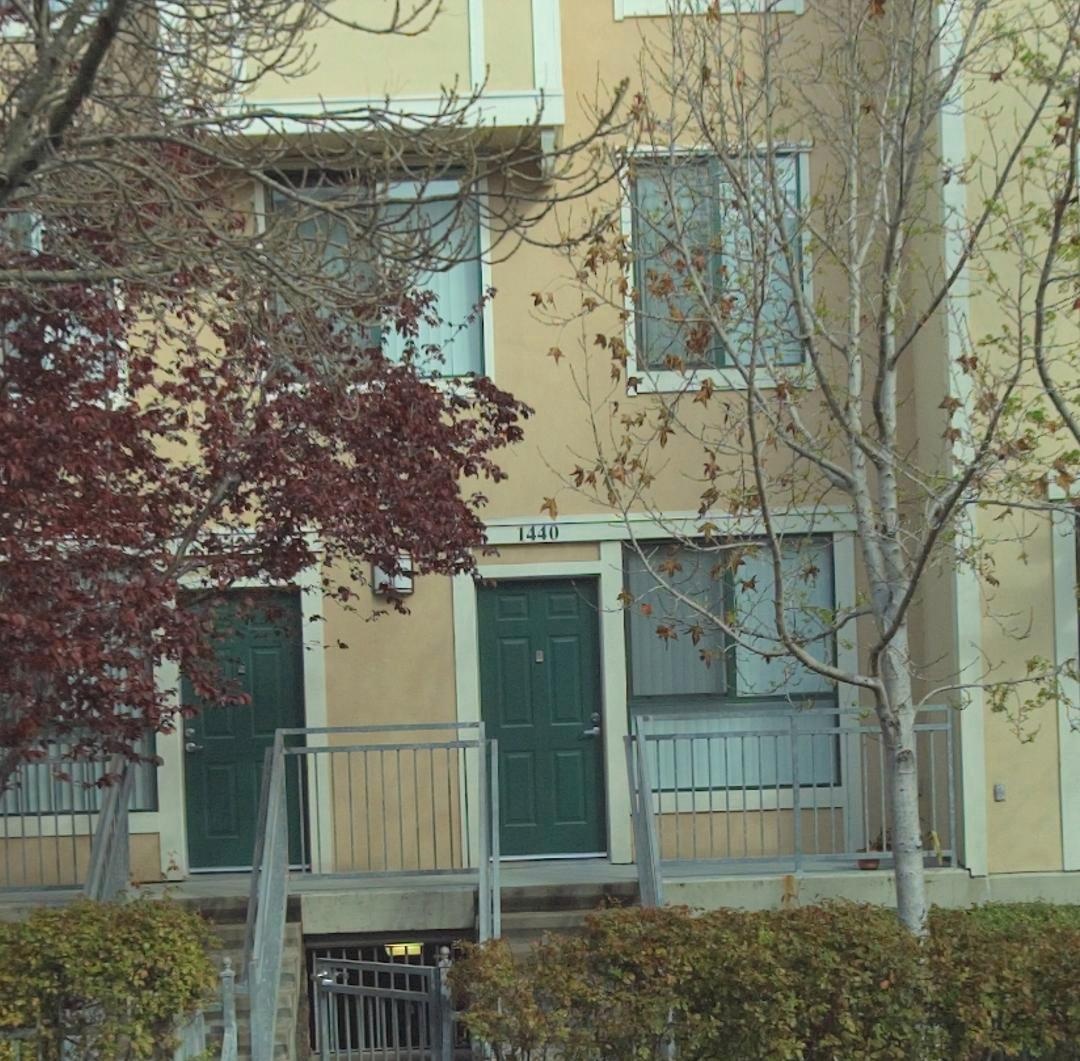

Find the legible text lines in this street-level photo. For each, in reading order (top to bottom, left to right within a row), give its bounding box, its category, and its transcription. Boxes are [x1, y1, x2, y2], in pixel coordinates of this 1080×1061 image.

[515, 522, 562, 544] StreetNumber: 1440